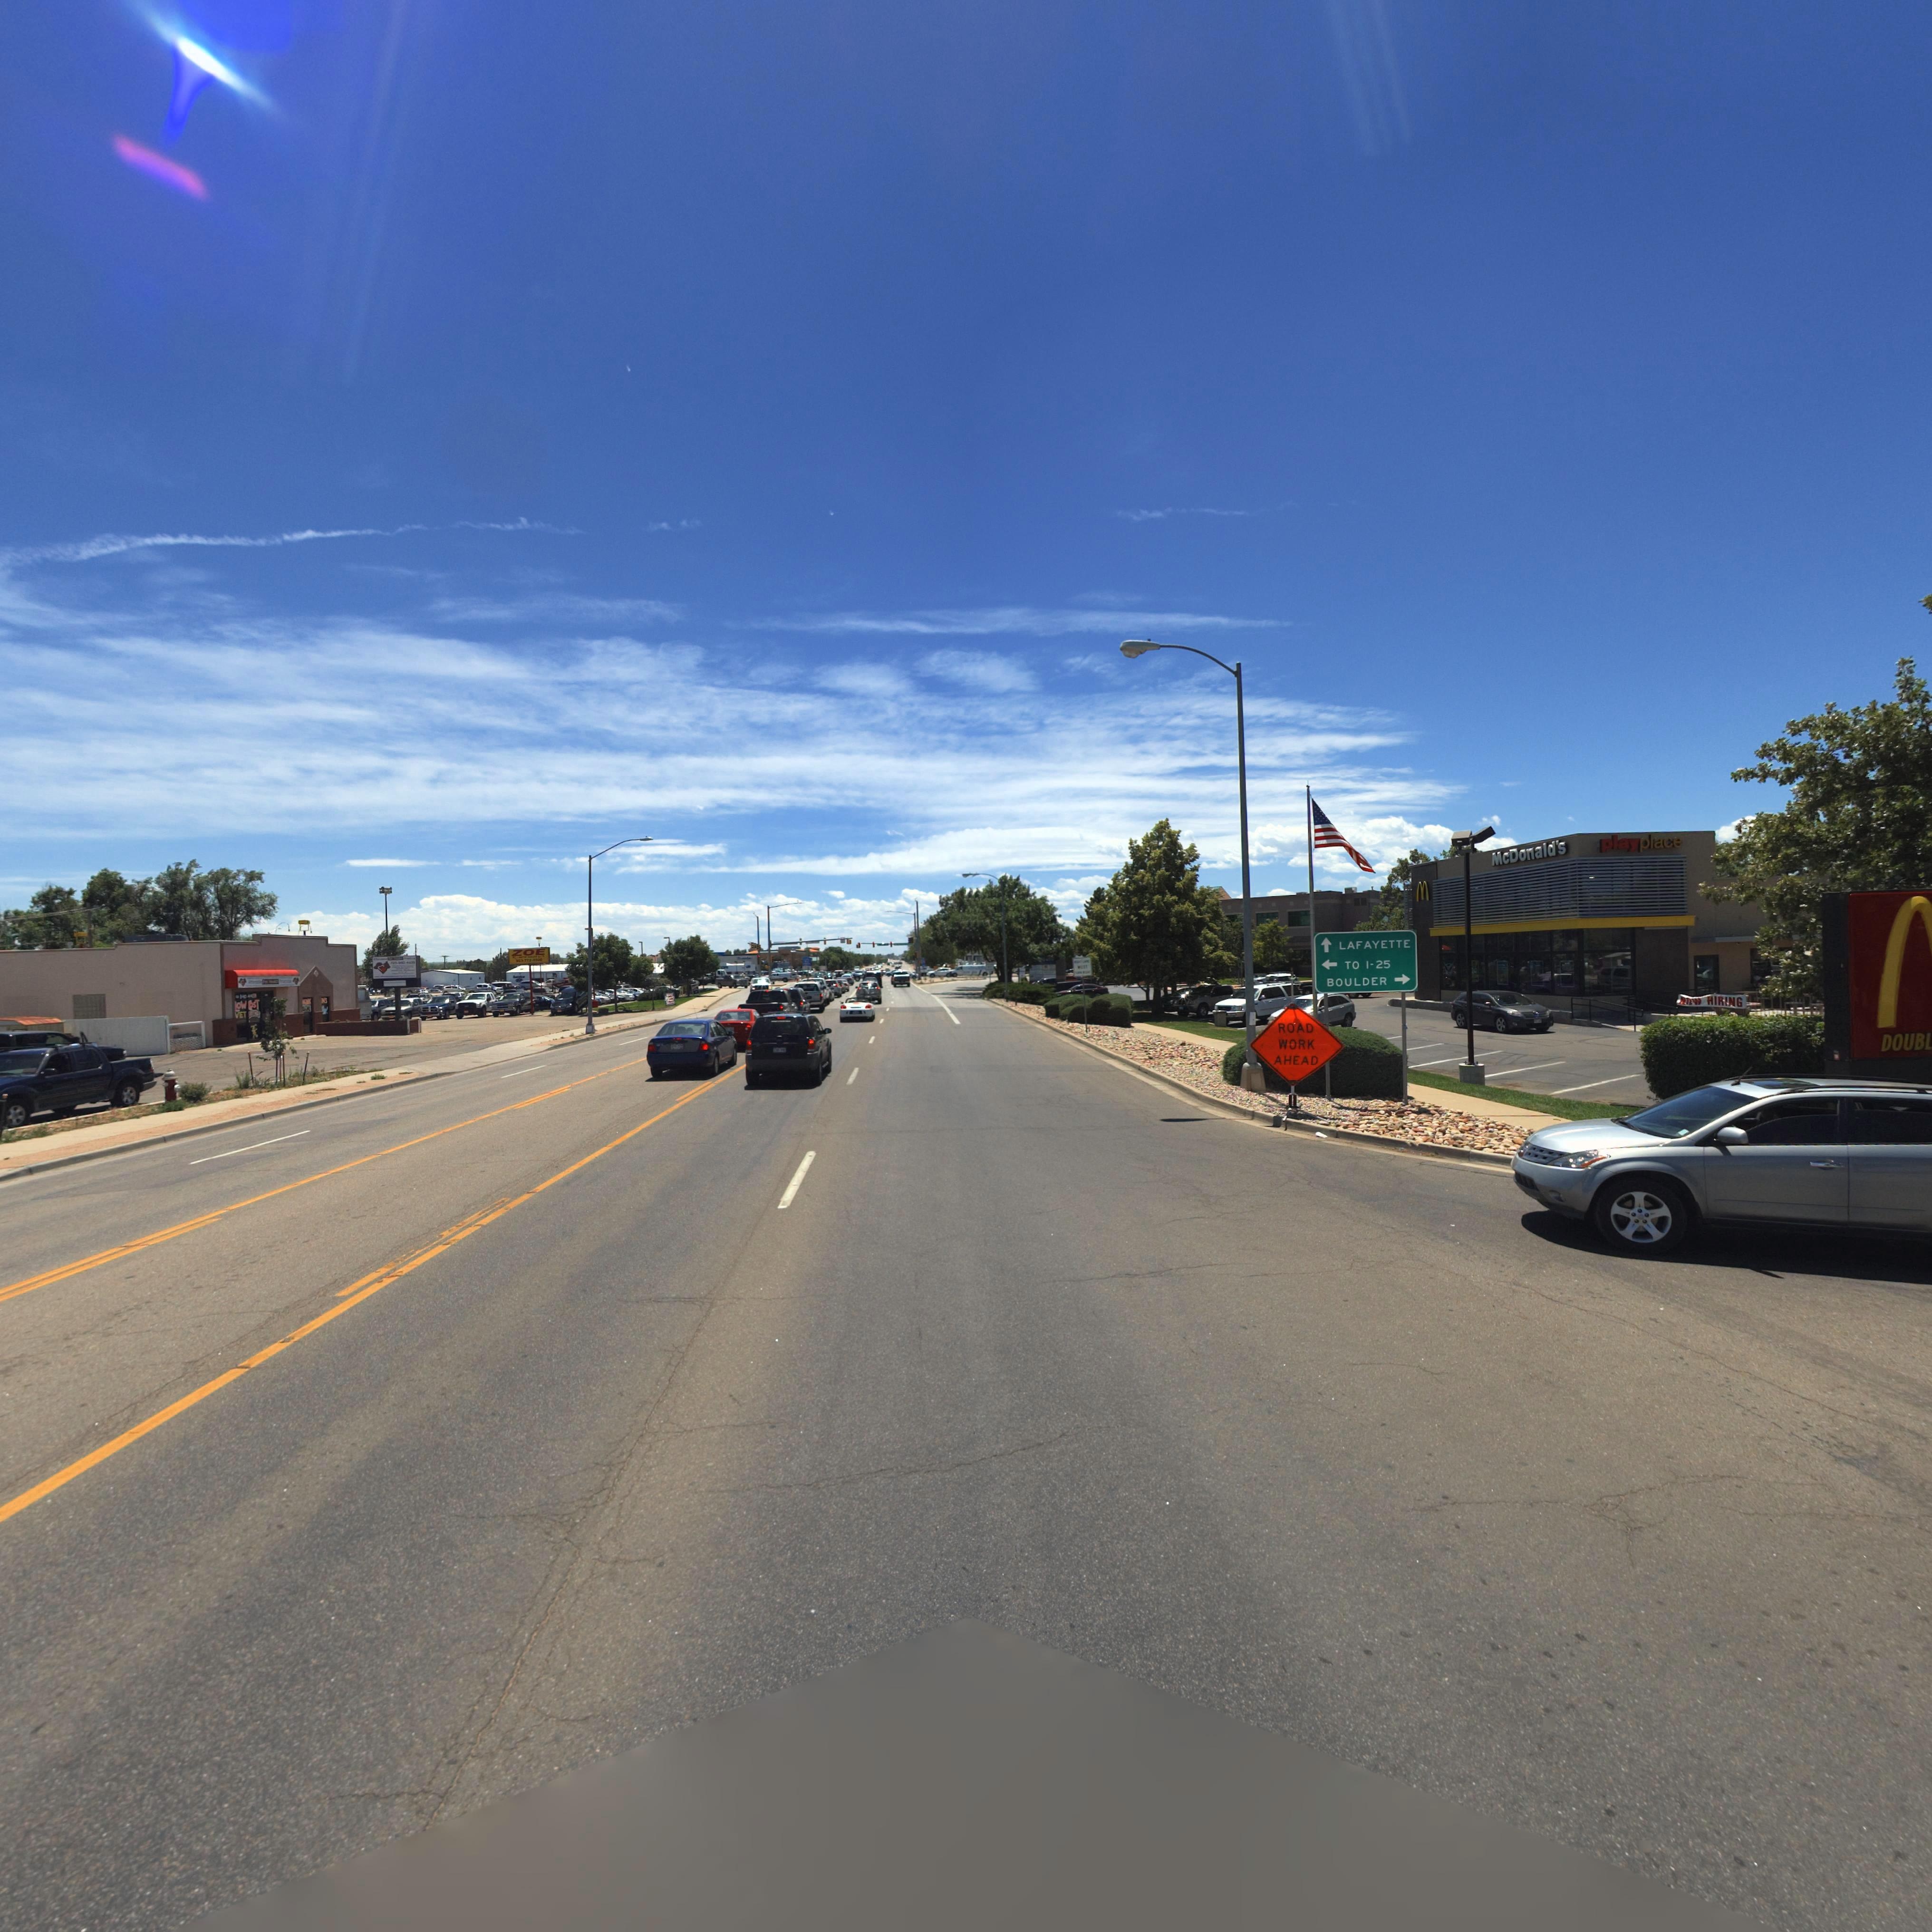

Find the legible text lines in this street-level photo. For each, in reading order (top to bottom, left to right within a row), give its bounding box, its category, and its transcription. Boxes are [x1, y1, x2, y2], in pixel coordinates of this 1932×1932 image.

[1491, 839, 1566, 866] BusinessName: McDonald's
[511, 948, 545, 956] BusinessName: ZOE